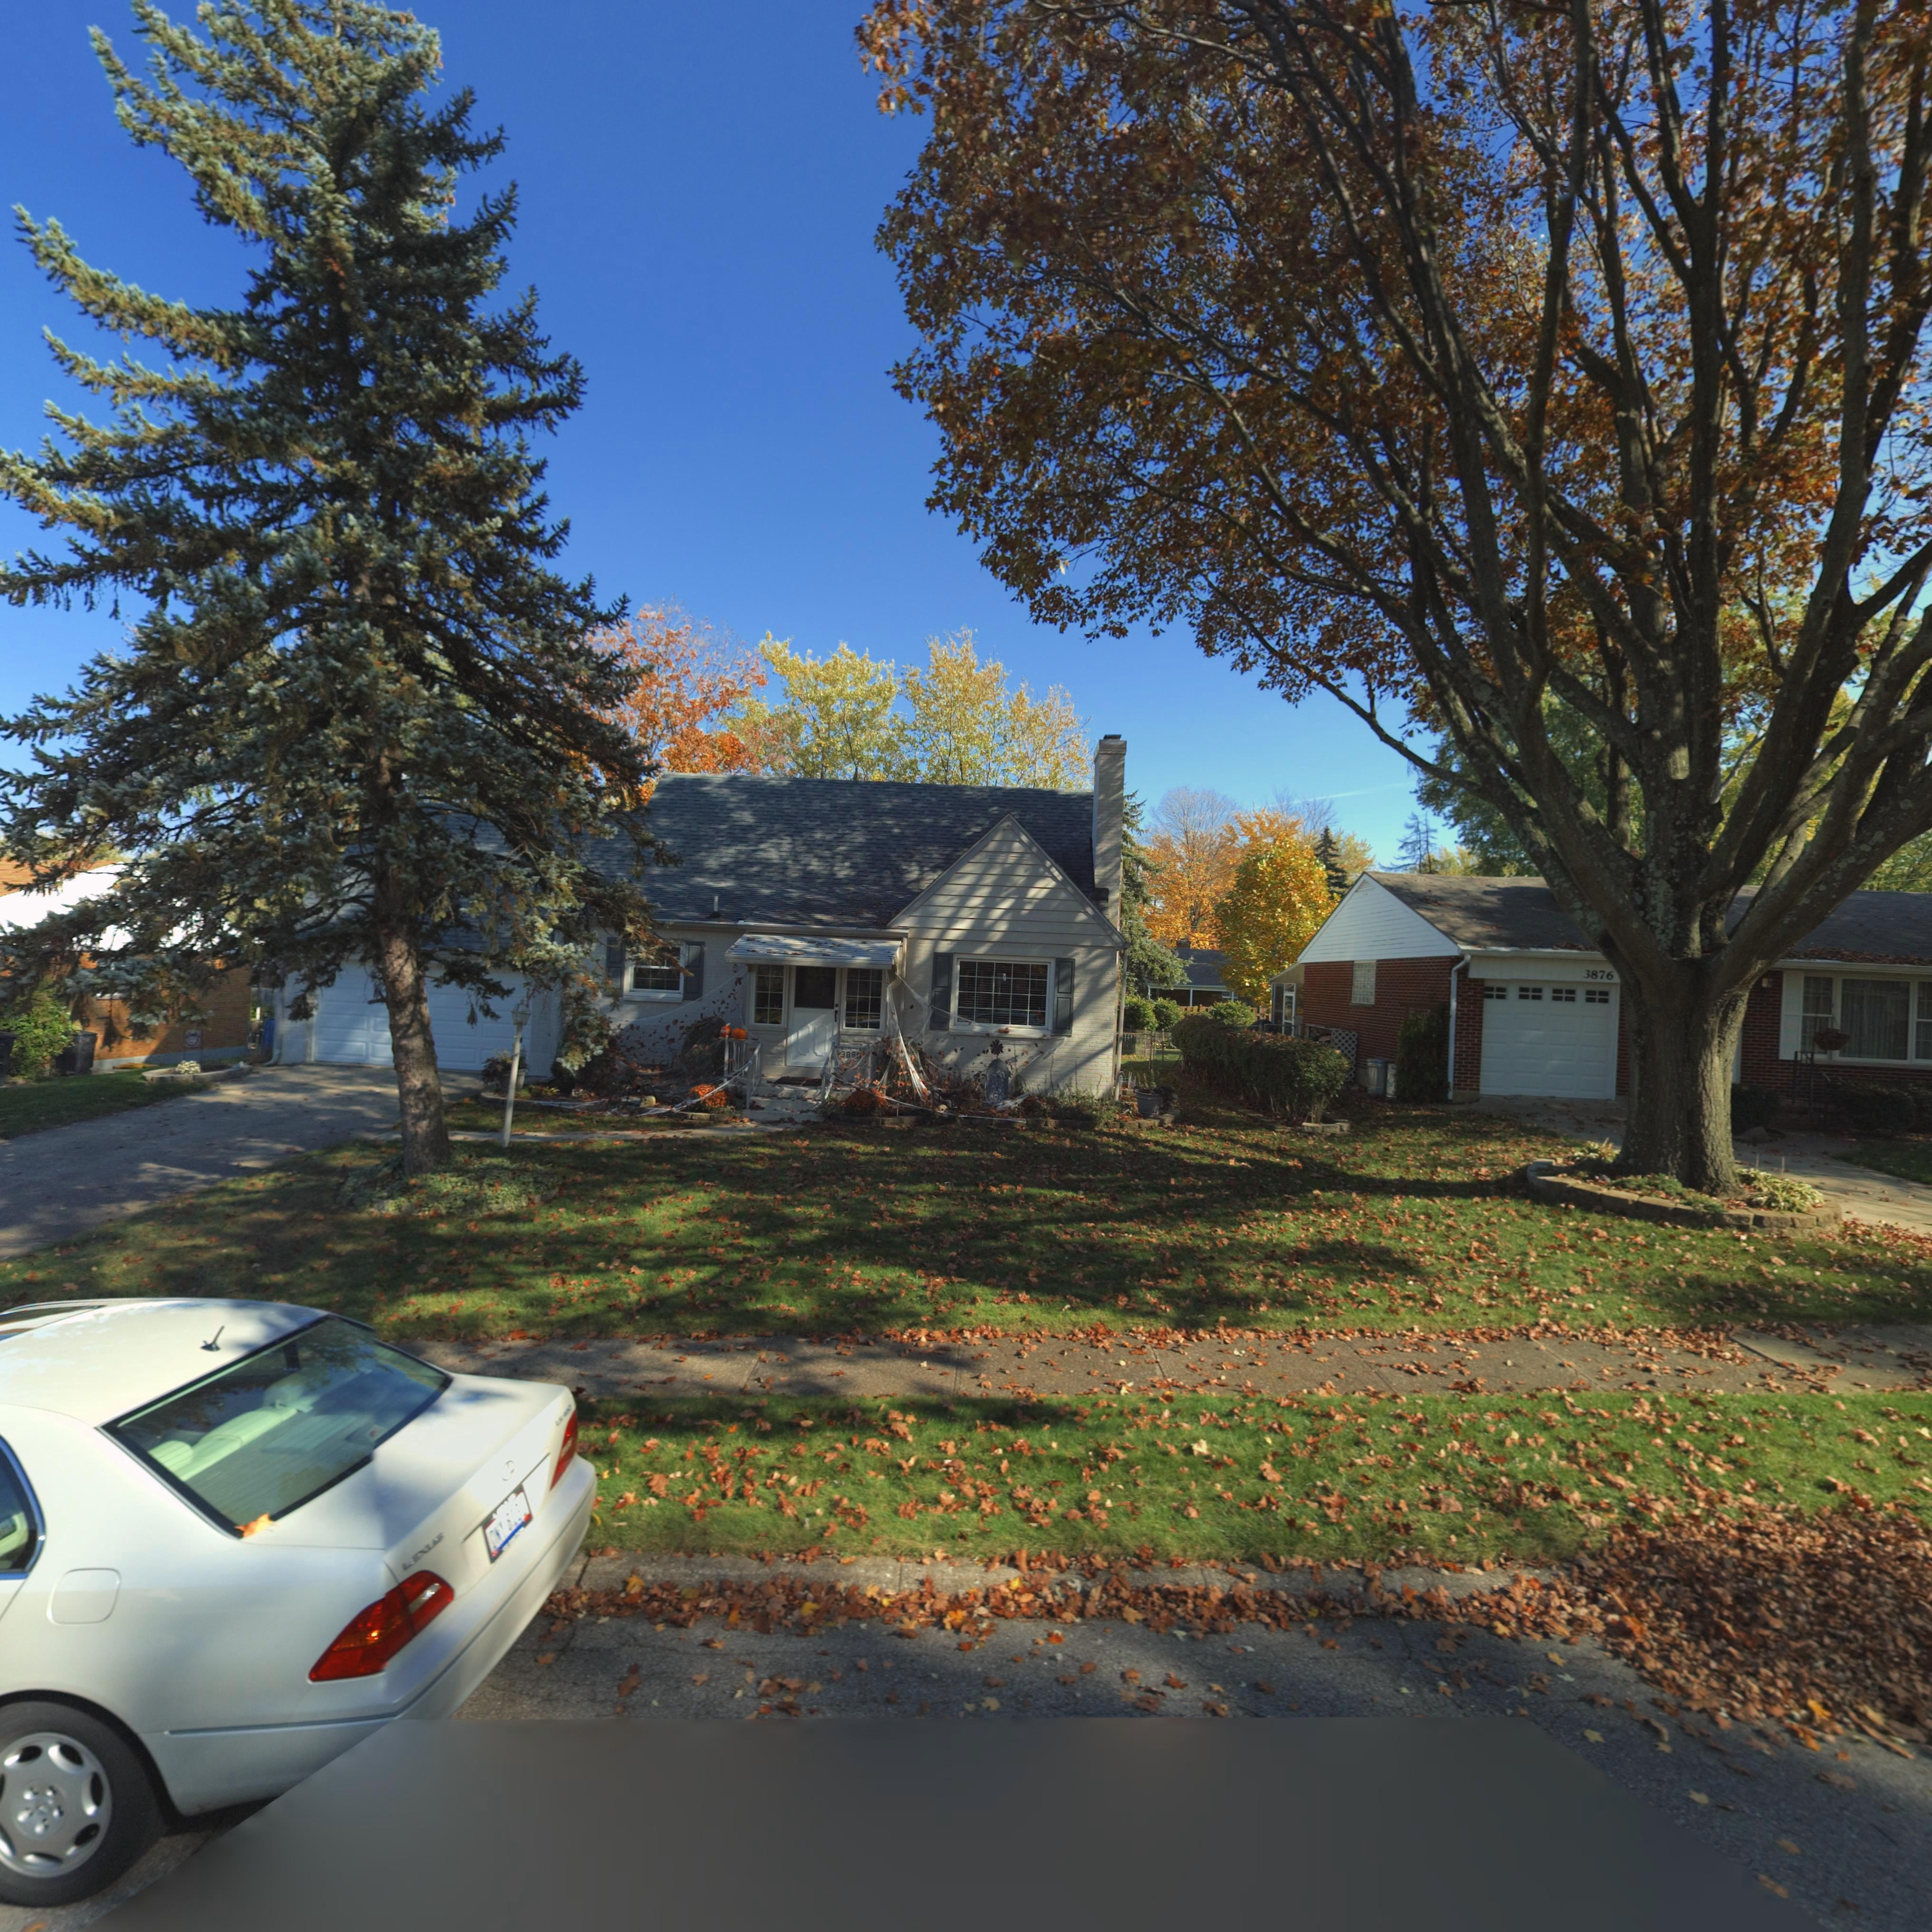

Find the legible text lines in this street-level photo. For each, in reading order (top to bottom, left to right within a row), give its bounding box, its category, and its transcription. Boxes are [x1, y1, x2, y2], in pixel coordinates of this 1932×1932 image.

[1582, 969, 1613, 980] StreetNumber: 3876
[840, 1051, 862, 1060] StreetNumber: 386*
[401, 1531, 445, 1573] None: LEXUS